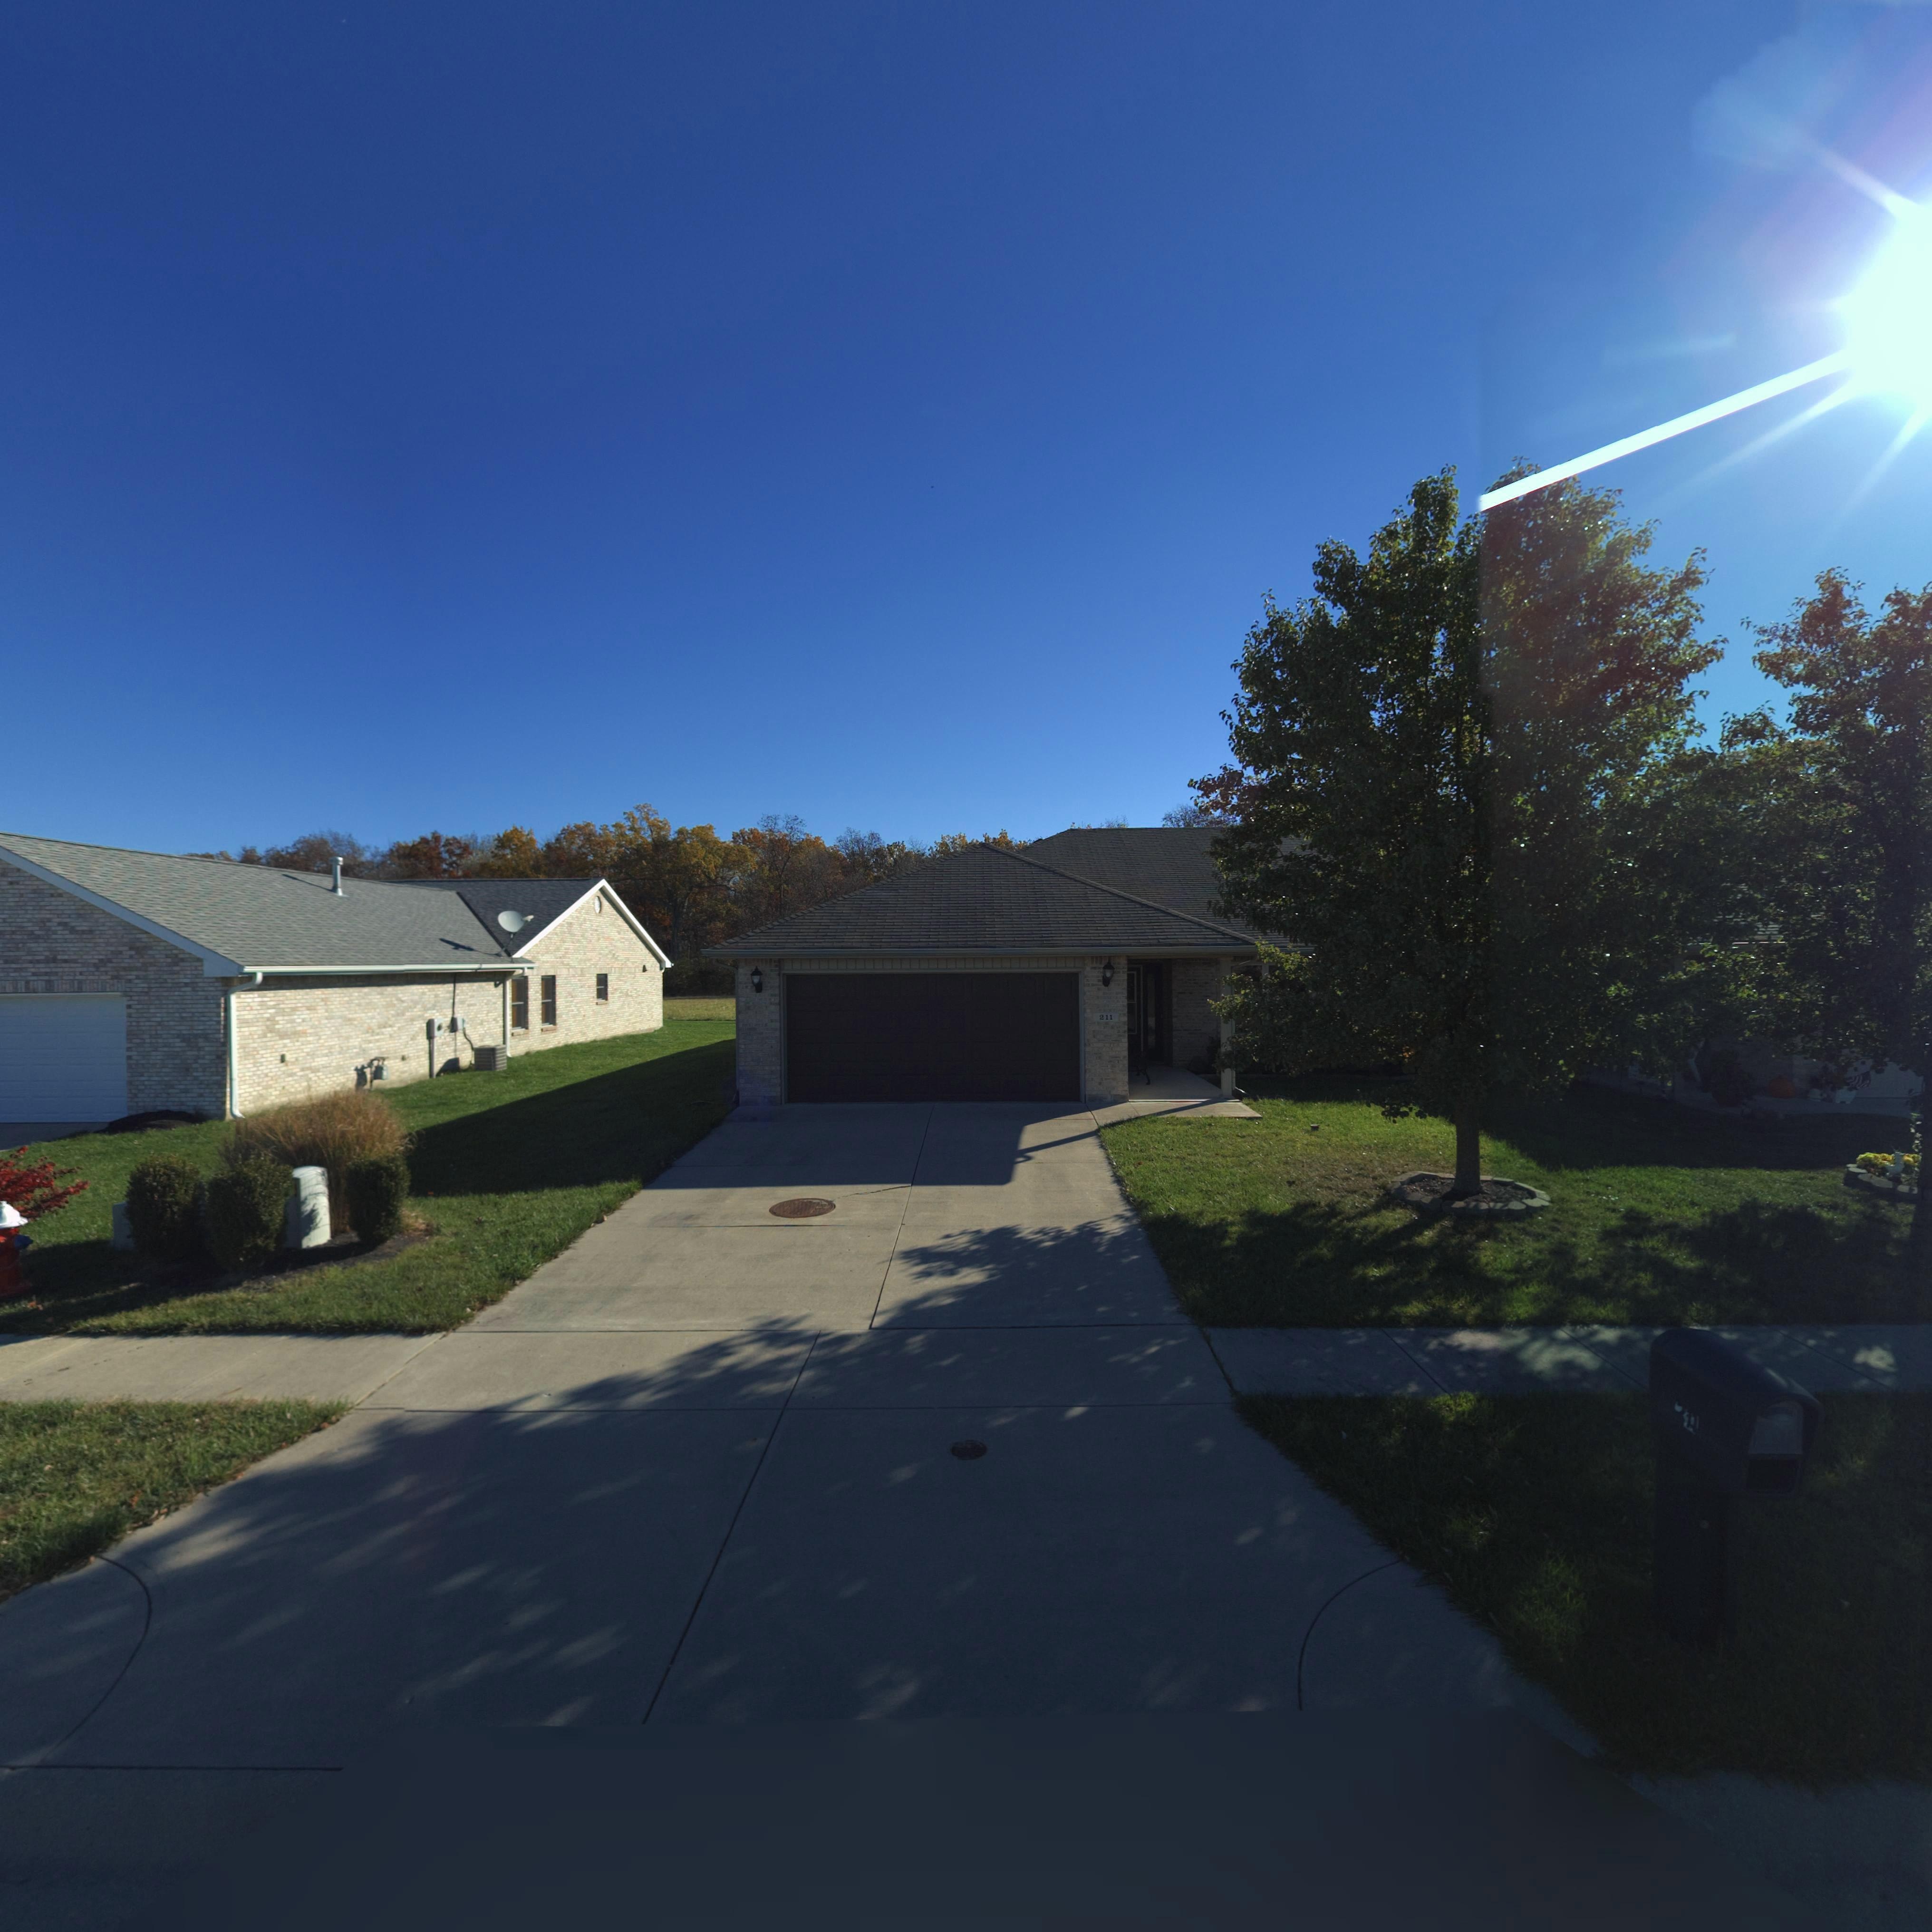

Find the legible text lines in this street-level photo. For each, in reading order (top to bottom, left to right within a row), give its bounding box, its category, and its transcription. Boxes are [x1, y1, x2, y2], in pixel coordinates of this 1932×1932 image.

[1099, 1014, 1113, 1021] StreetNumber: 211